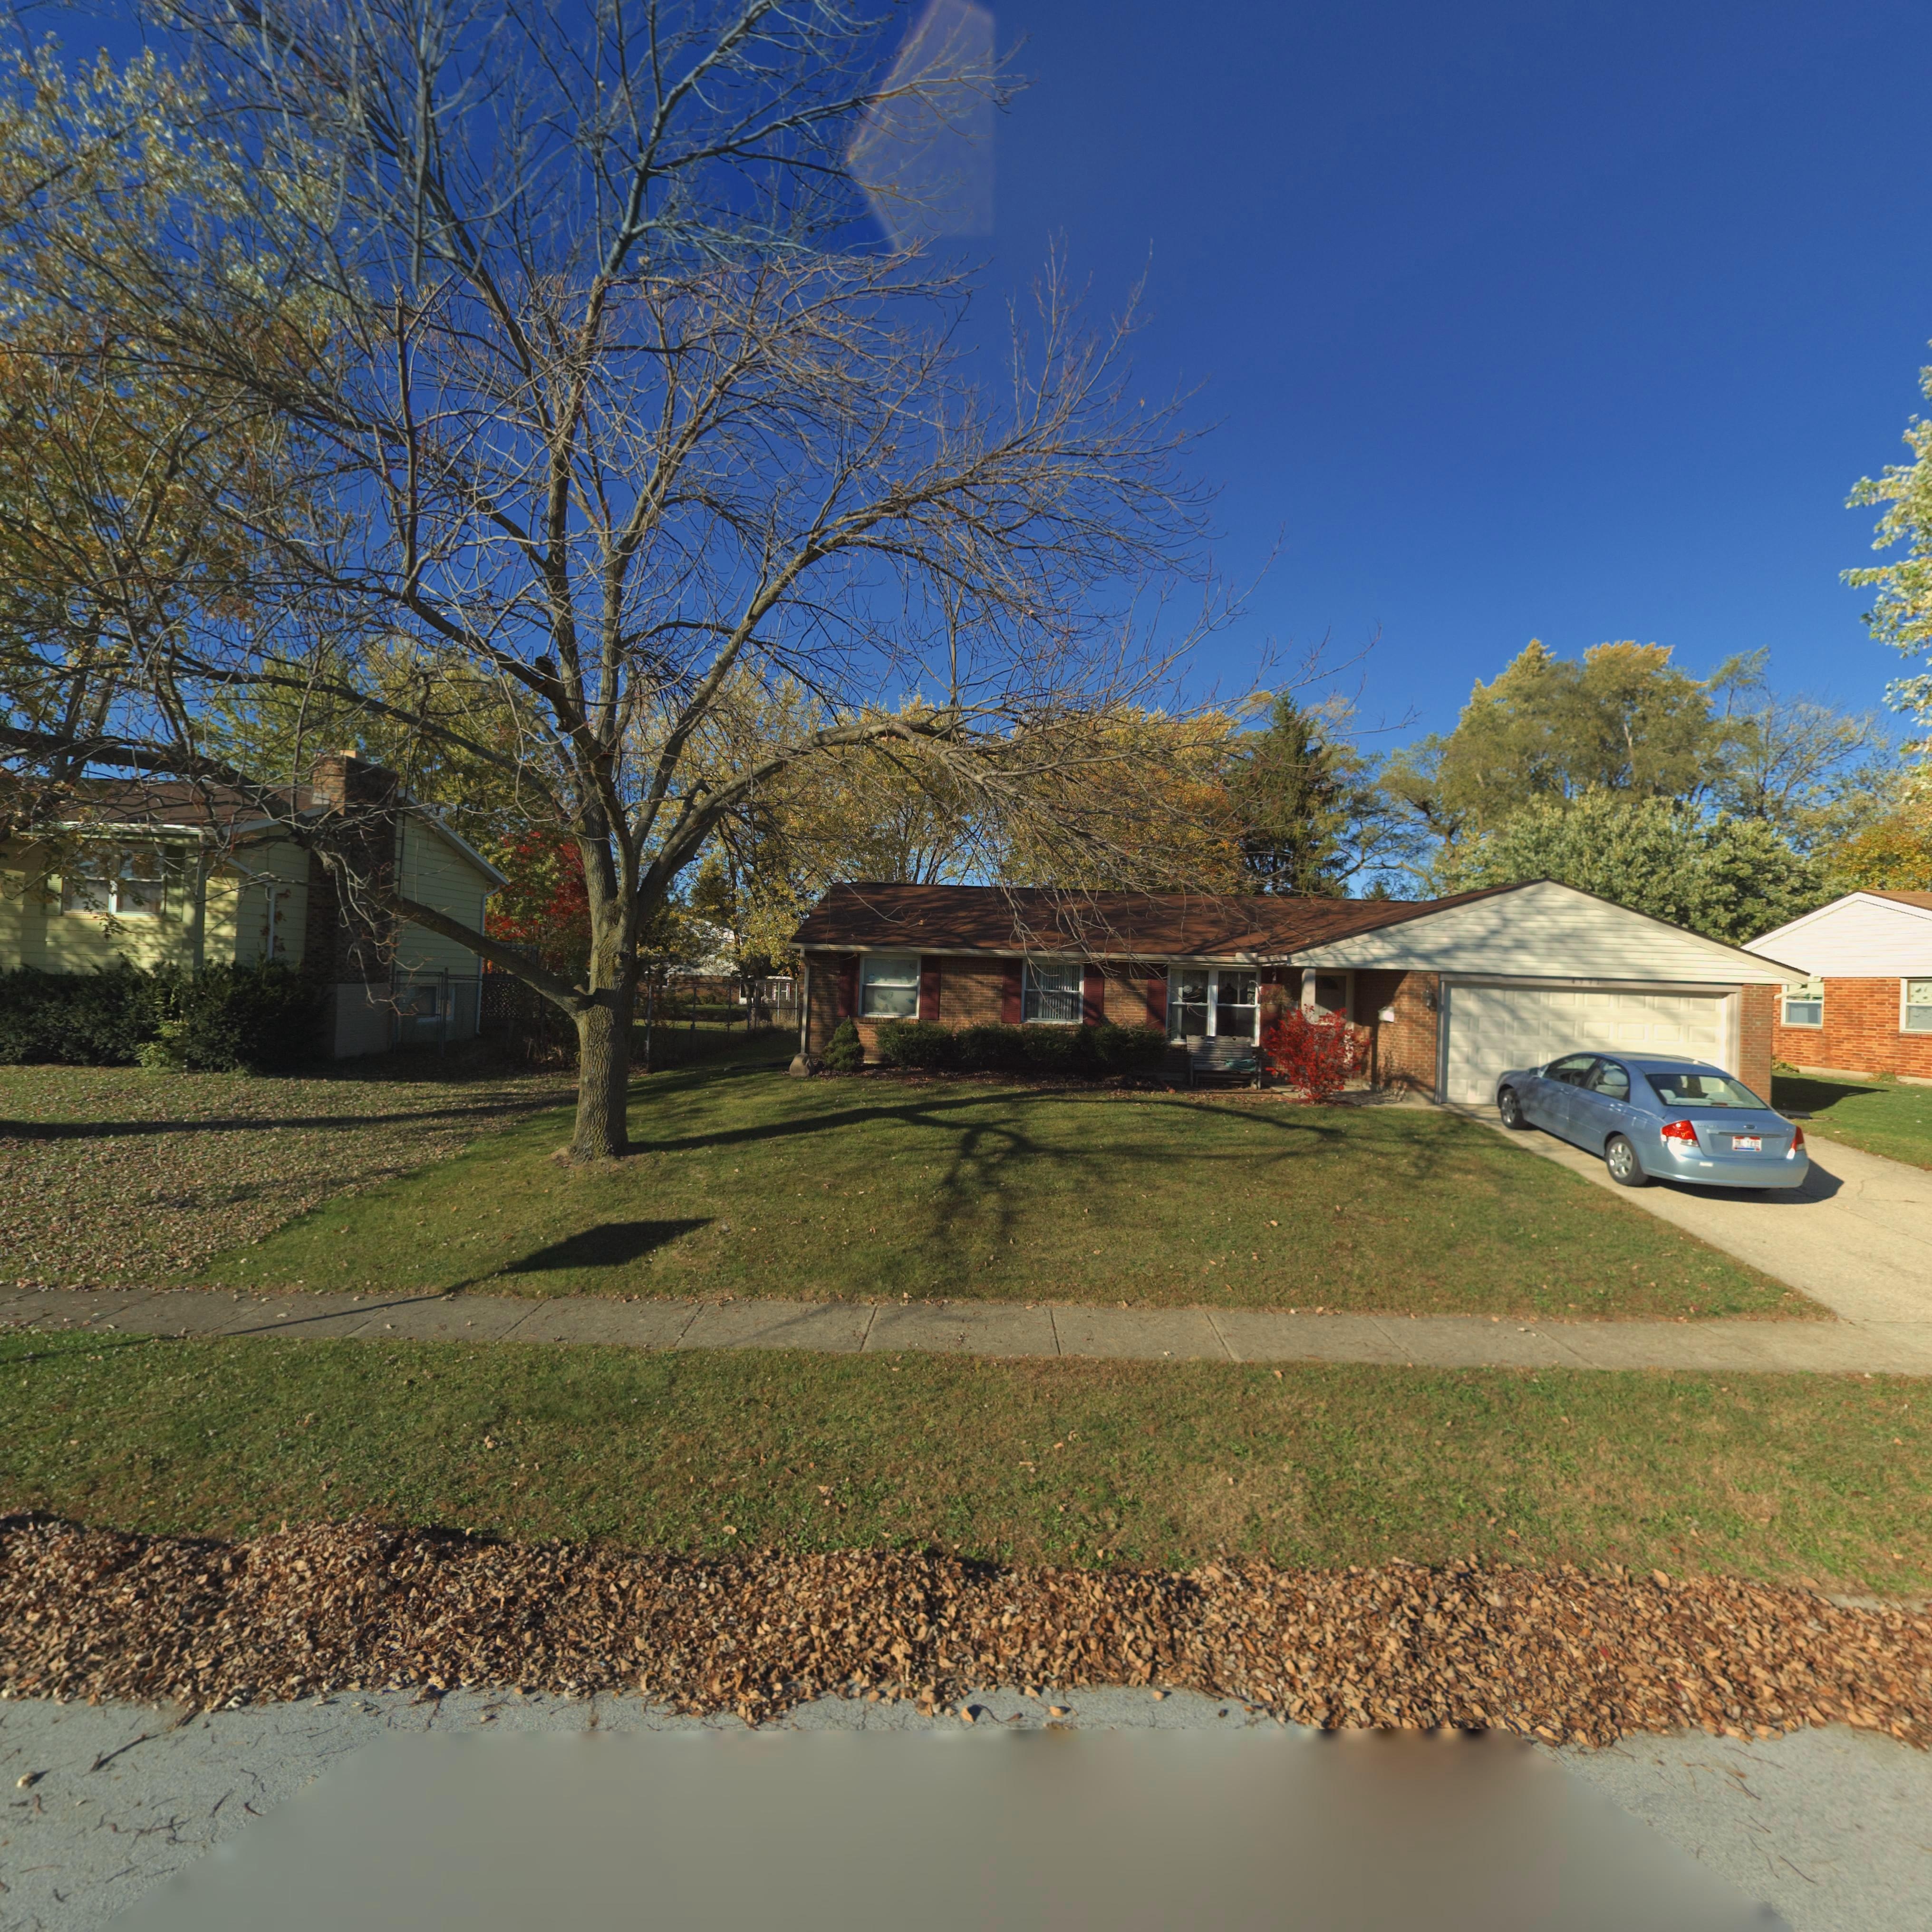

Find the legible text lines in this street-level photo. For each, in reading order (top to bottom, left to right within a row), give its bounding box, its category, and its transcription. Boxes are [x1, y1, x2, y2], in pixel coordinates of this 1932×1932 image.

[1569, 976, 1602, 987] StreetNumber: *99*